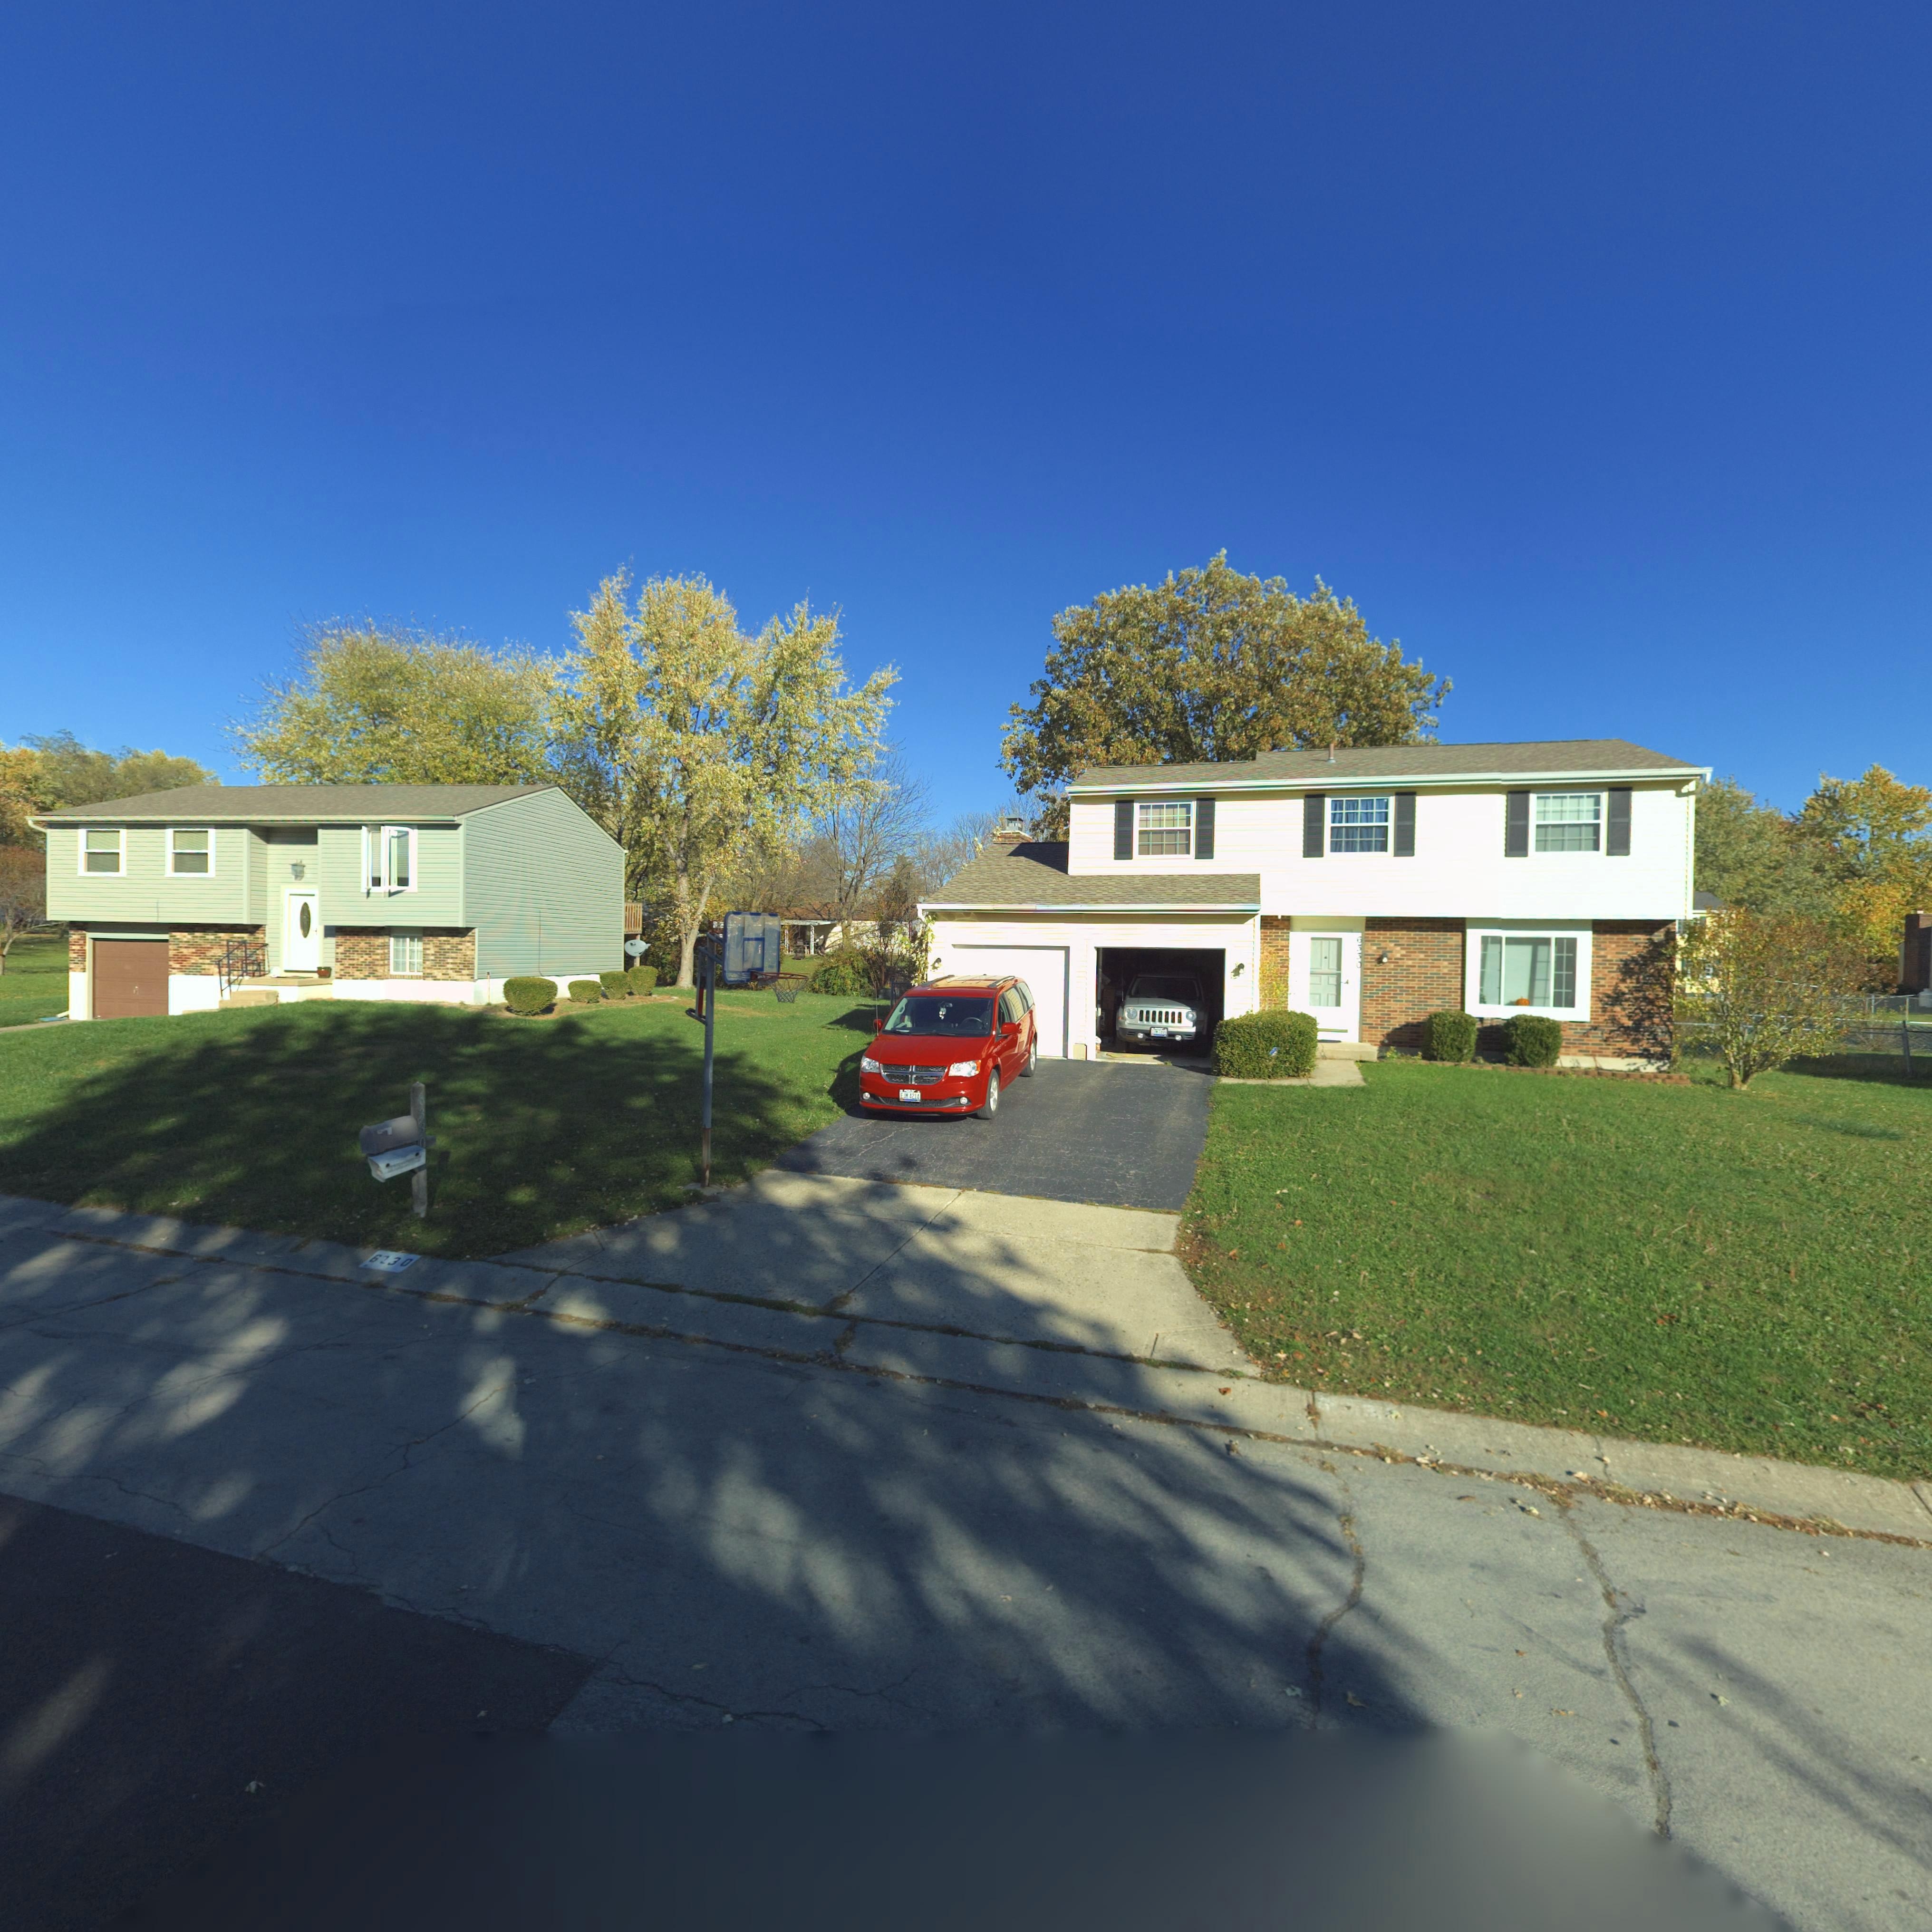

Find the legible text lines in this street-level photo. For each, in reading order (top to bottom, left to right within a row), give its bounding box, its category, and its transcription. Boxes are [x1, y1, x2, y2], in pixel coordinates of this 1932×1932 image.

[1355, 935, 1363, 970] StreetNumber: 6330
[367, 1252, 415, 1268] StreetNumber: 6*30